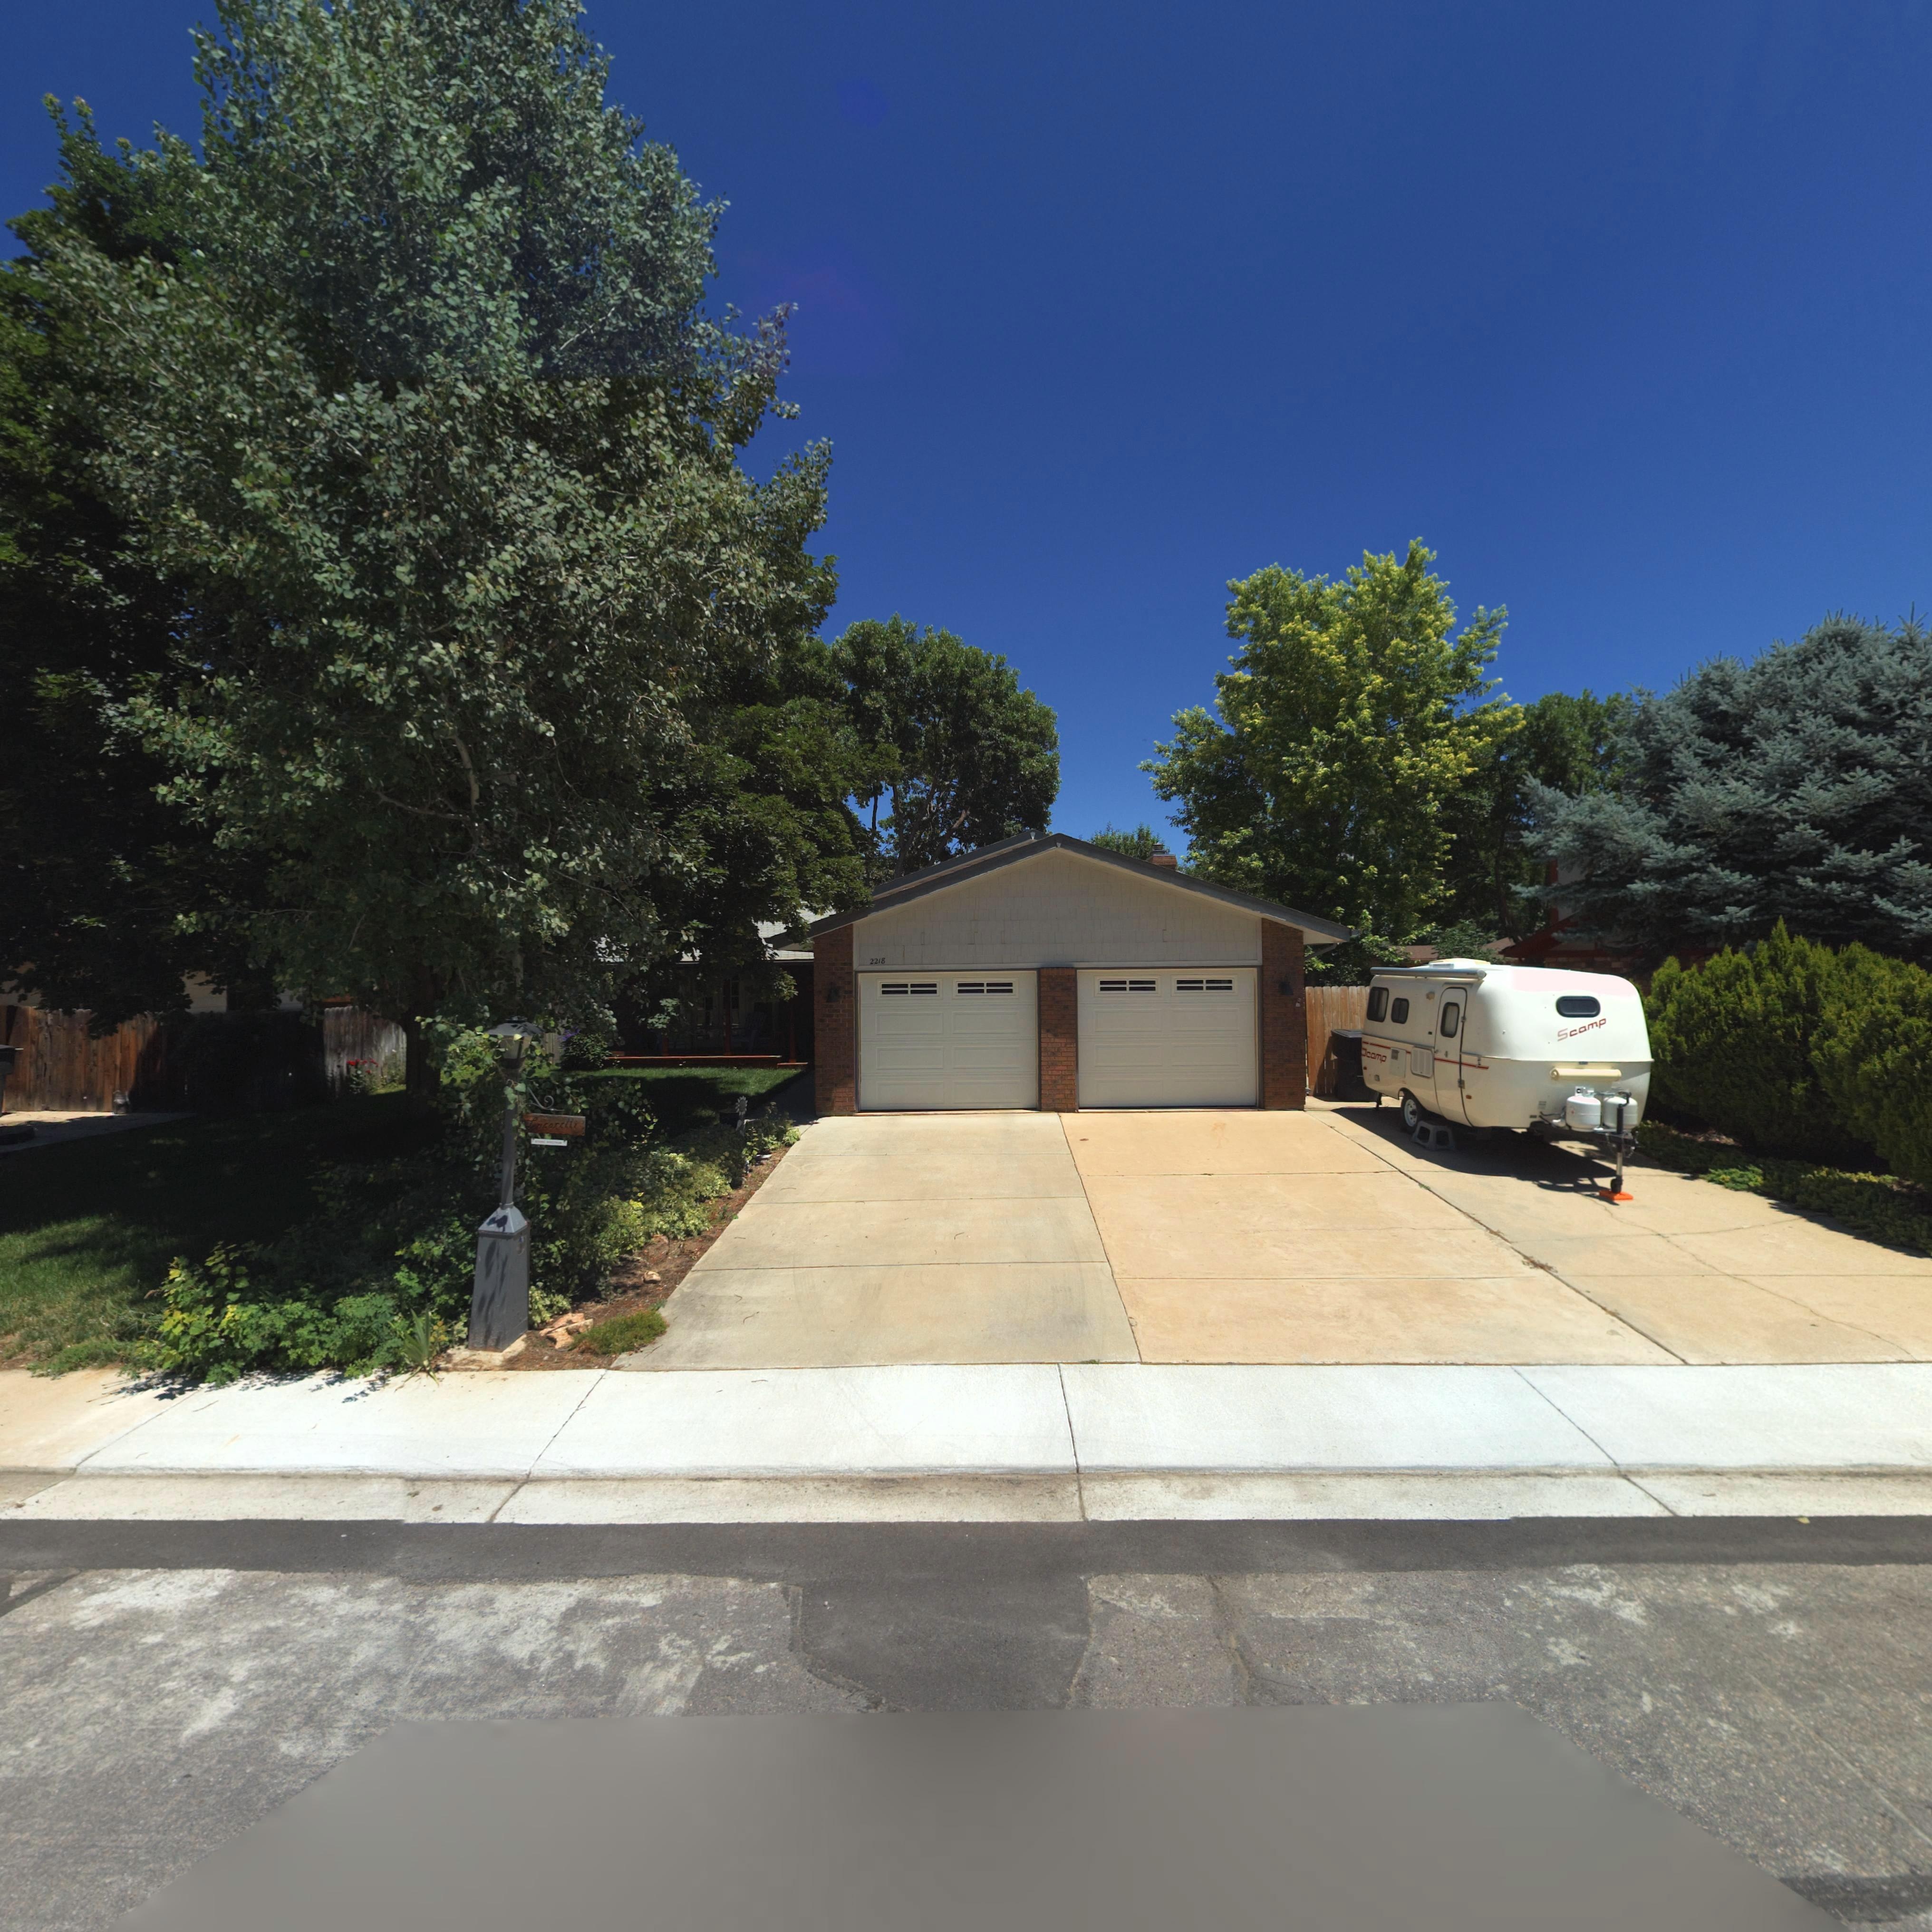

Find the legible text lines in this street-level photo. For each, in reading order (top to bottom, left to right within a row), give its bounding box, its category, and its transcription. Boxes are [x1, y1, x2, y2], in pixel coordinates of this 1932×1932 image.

[869, 957, 886, 964] StreetNumber: 2218